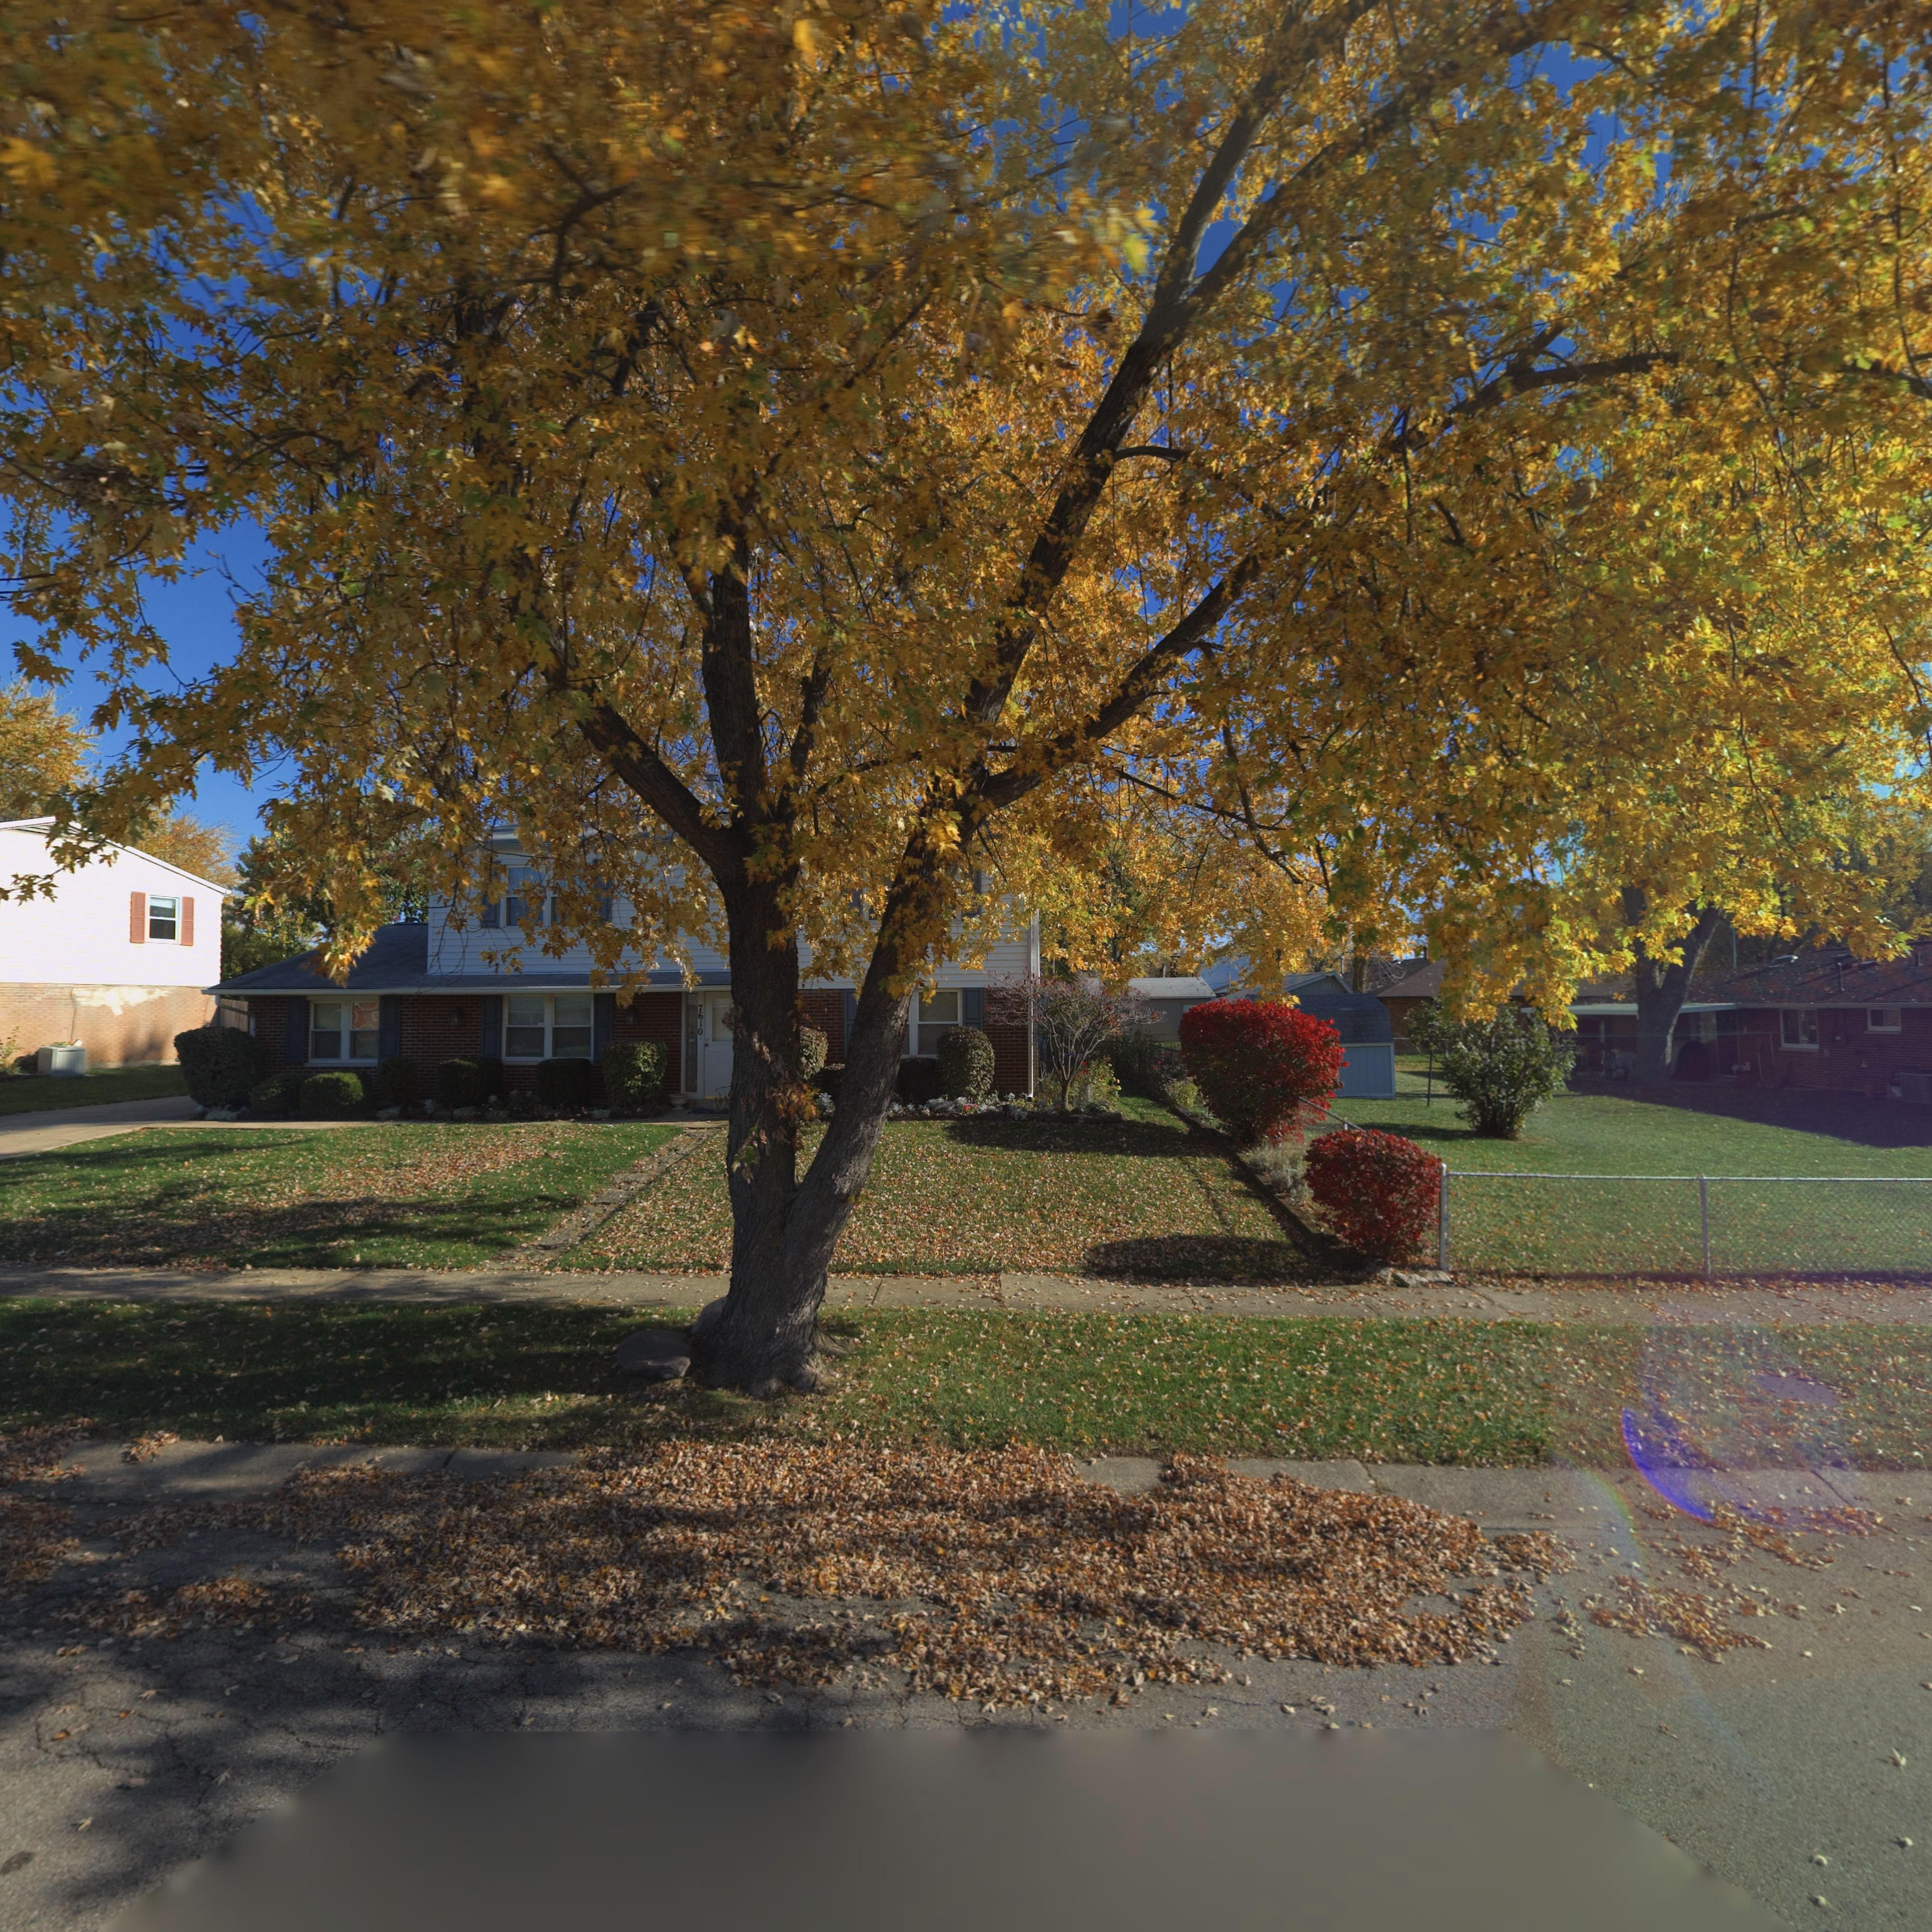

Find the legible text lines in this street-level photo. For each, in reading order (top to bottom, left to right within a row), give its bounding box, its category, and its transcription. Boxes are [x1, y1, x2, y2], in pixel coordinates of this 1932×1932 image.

[697, 1004, 703, 1036] StreetNumber: 7610